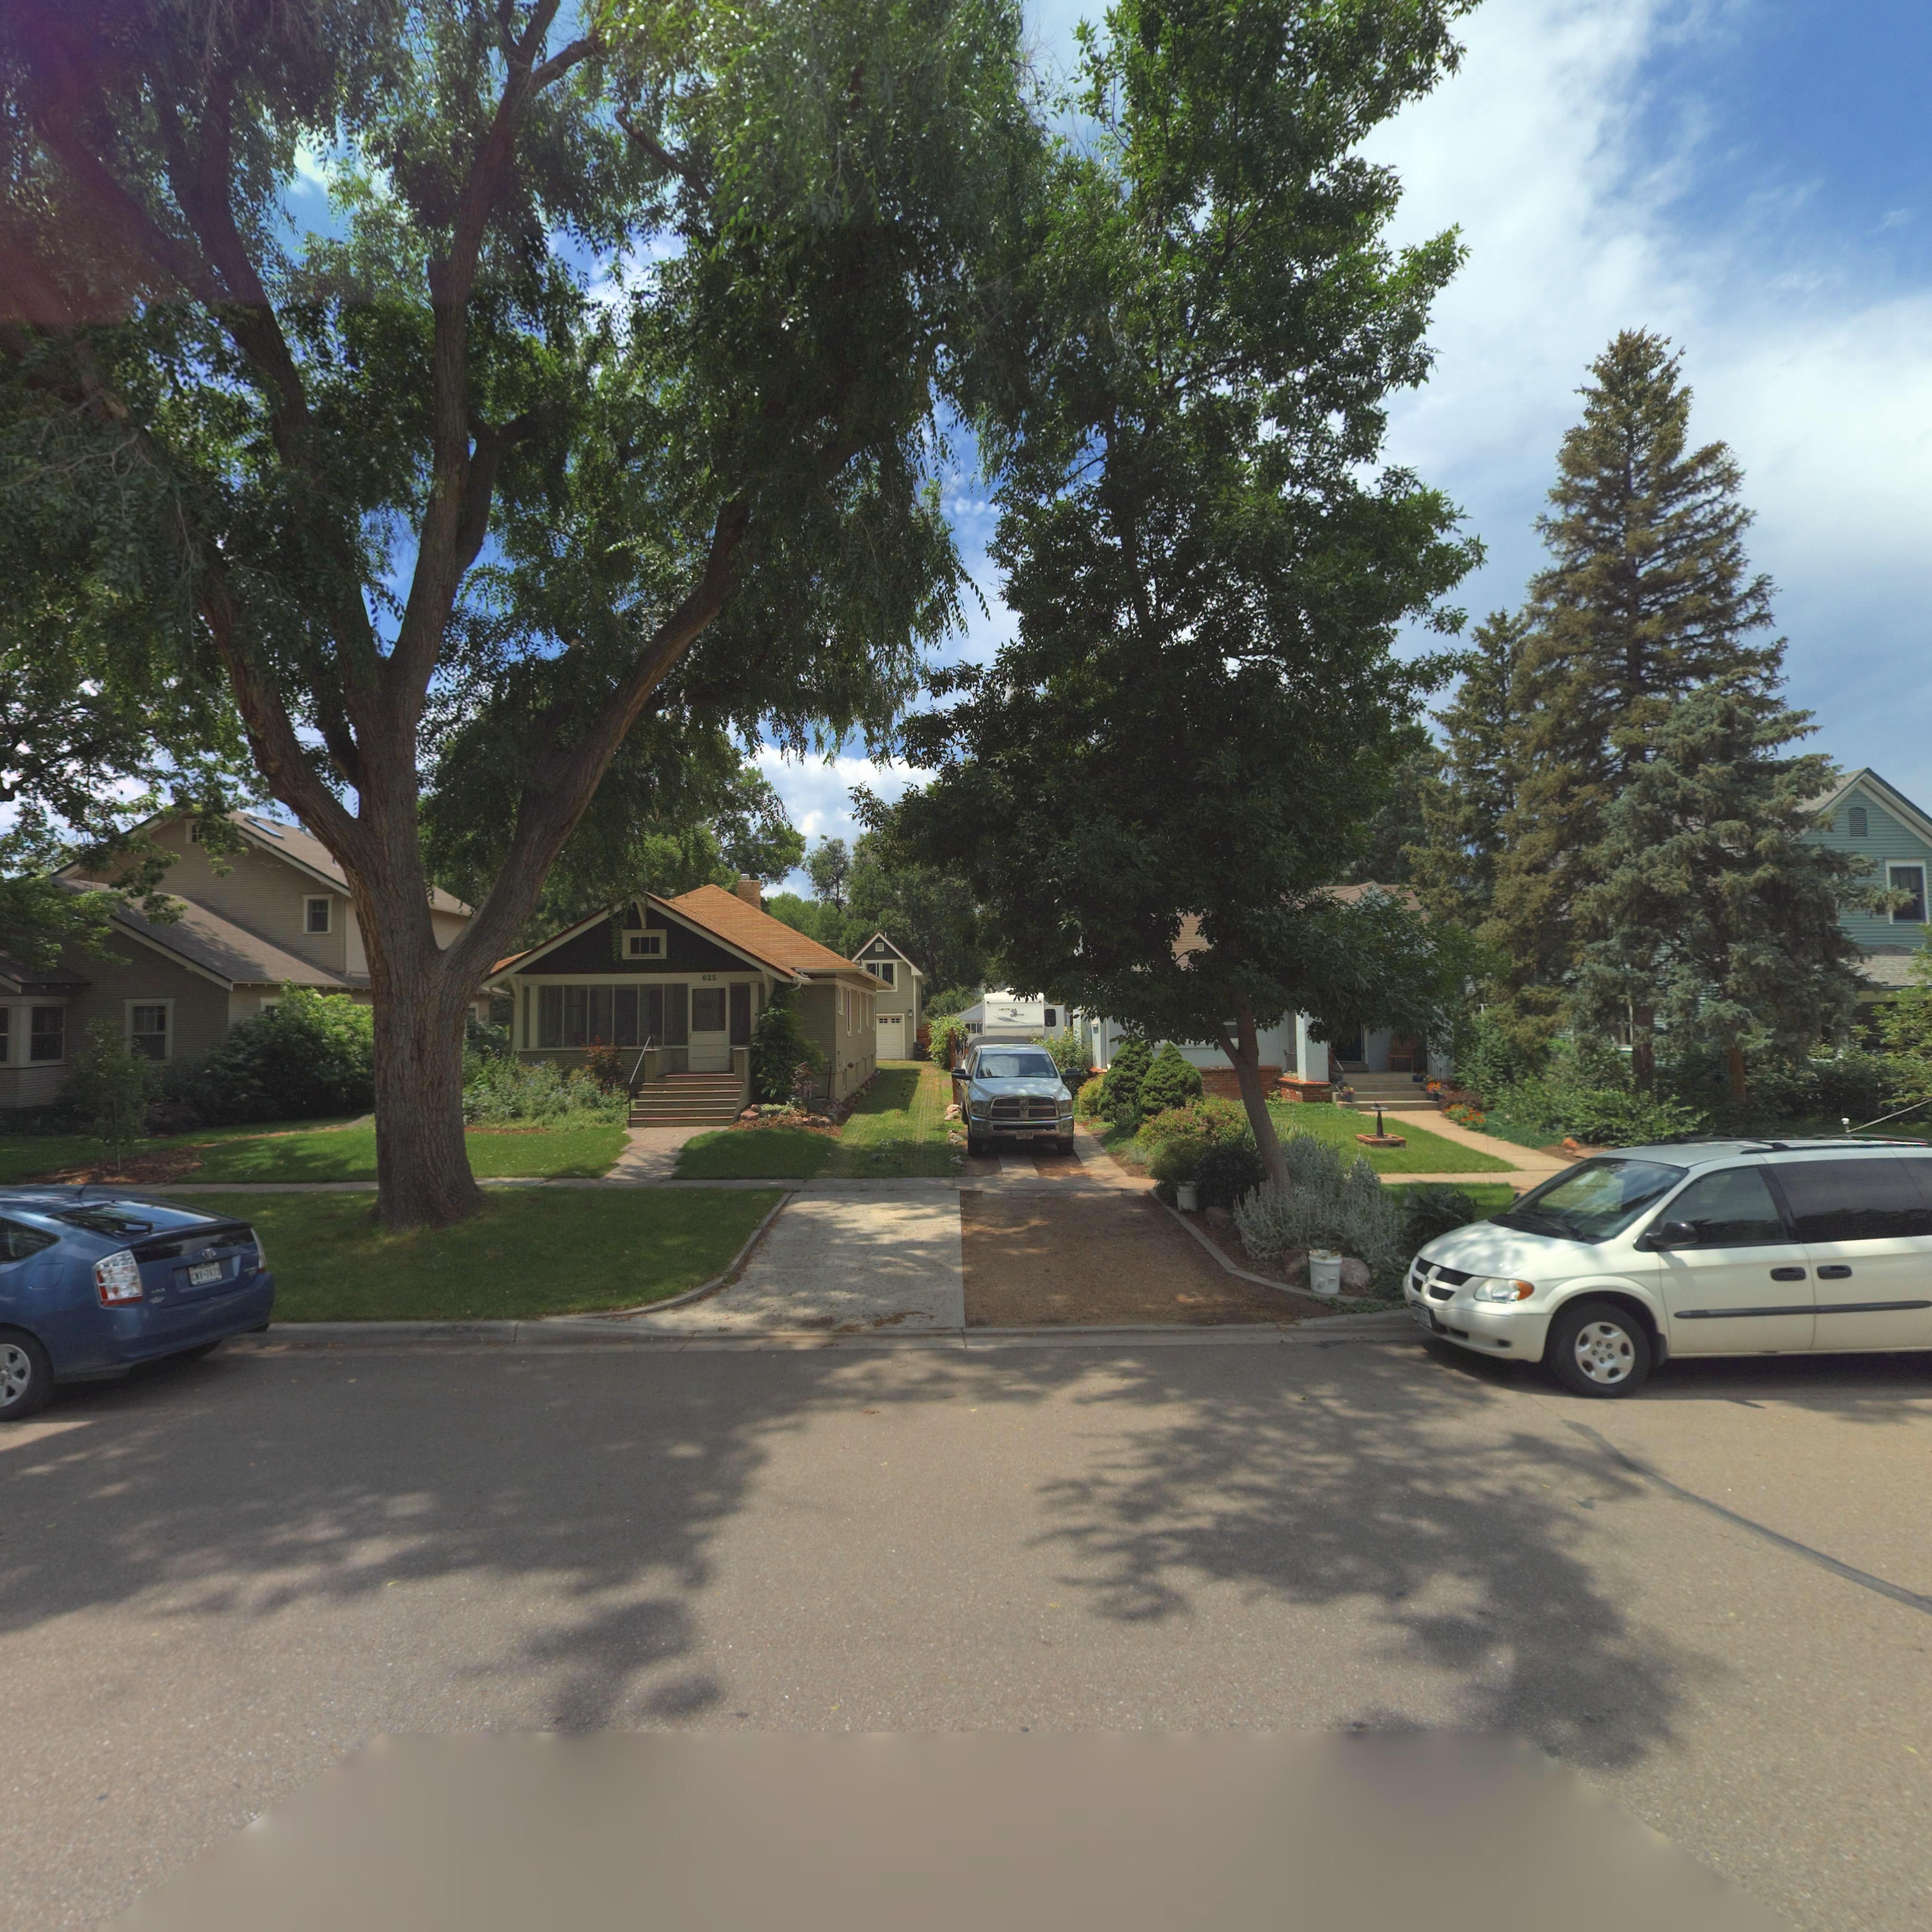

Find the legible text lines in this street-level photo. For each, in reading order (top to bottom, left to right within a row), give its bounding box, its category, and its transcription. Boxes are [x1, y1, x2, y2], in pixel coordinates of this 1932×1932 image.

[702, 974, 716, 981] StreetNumber: 625